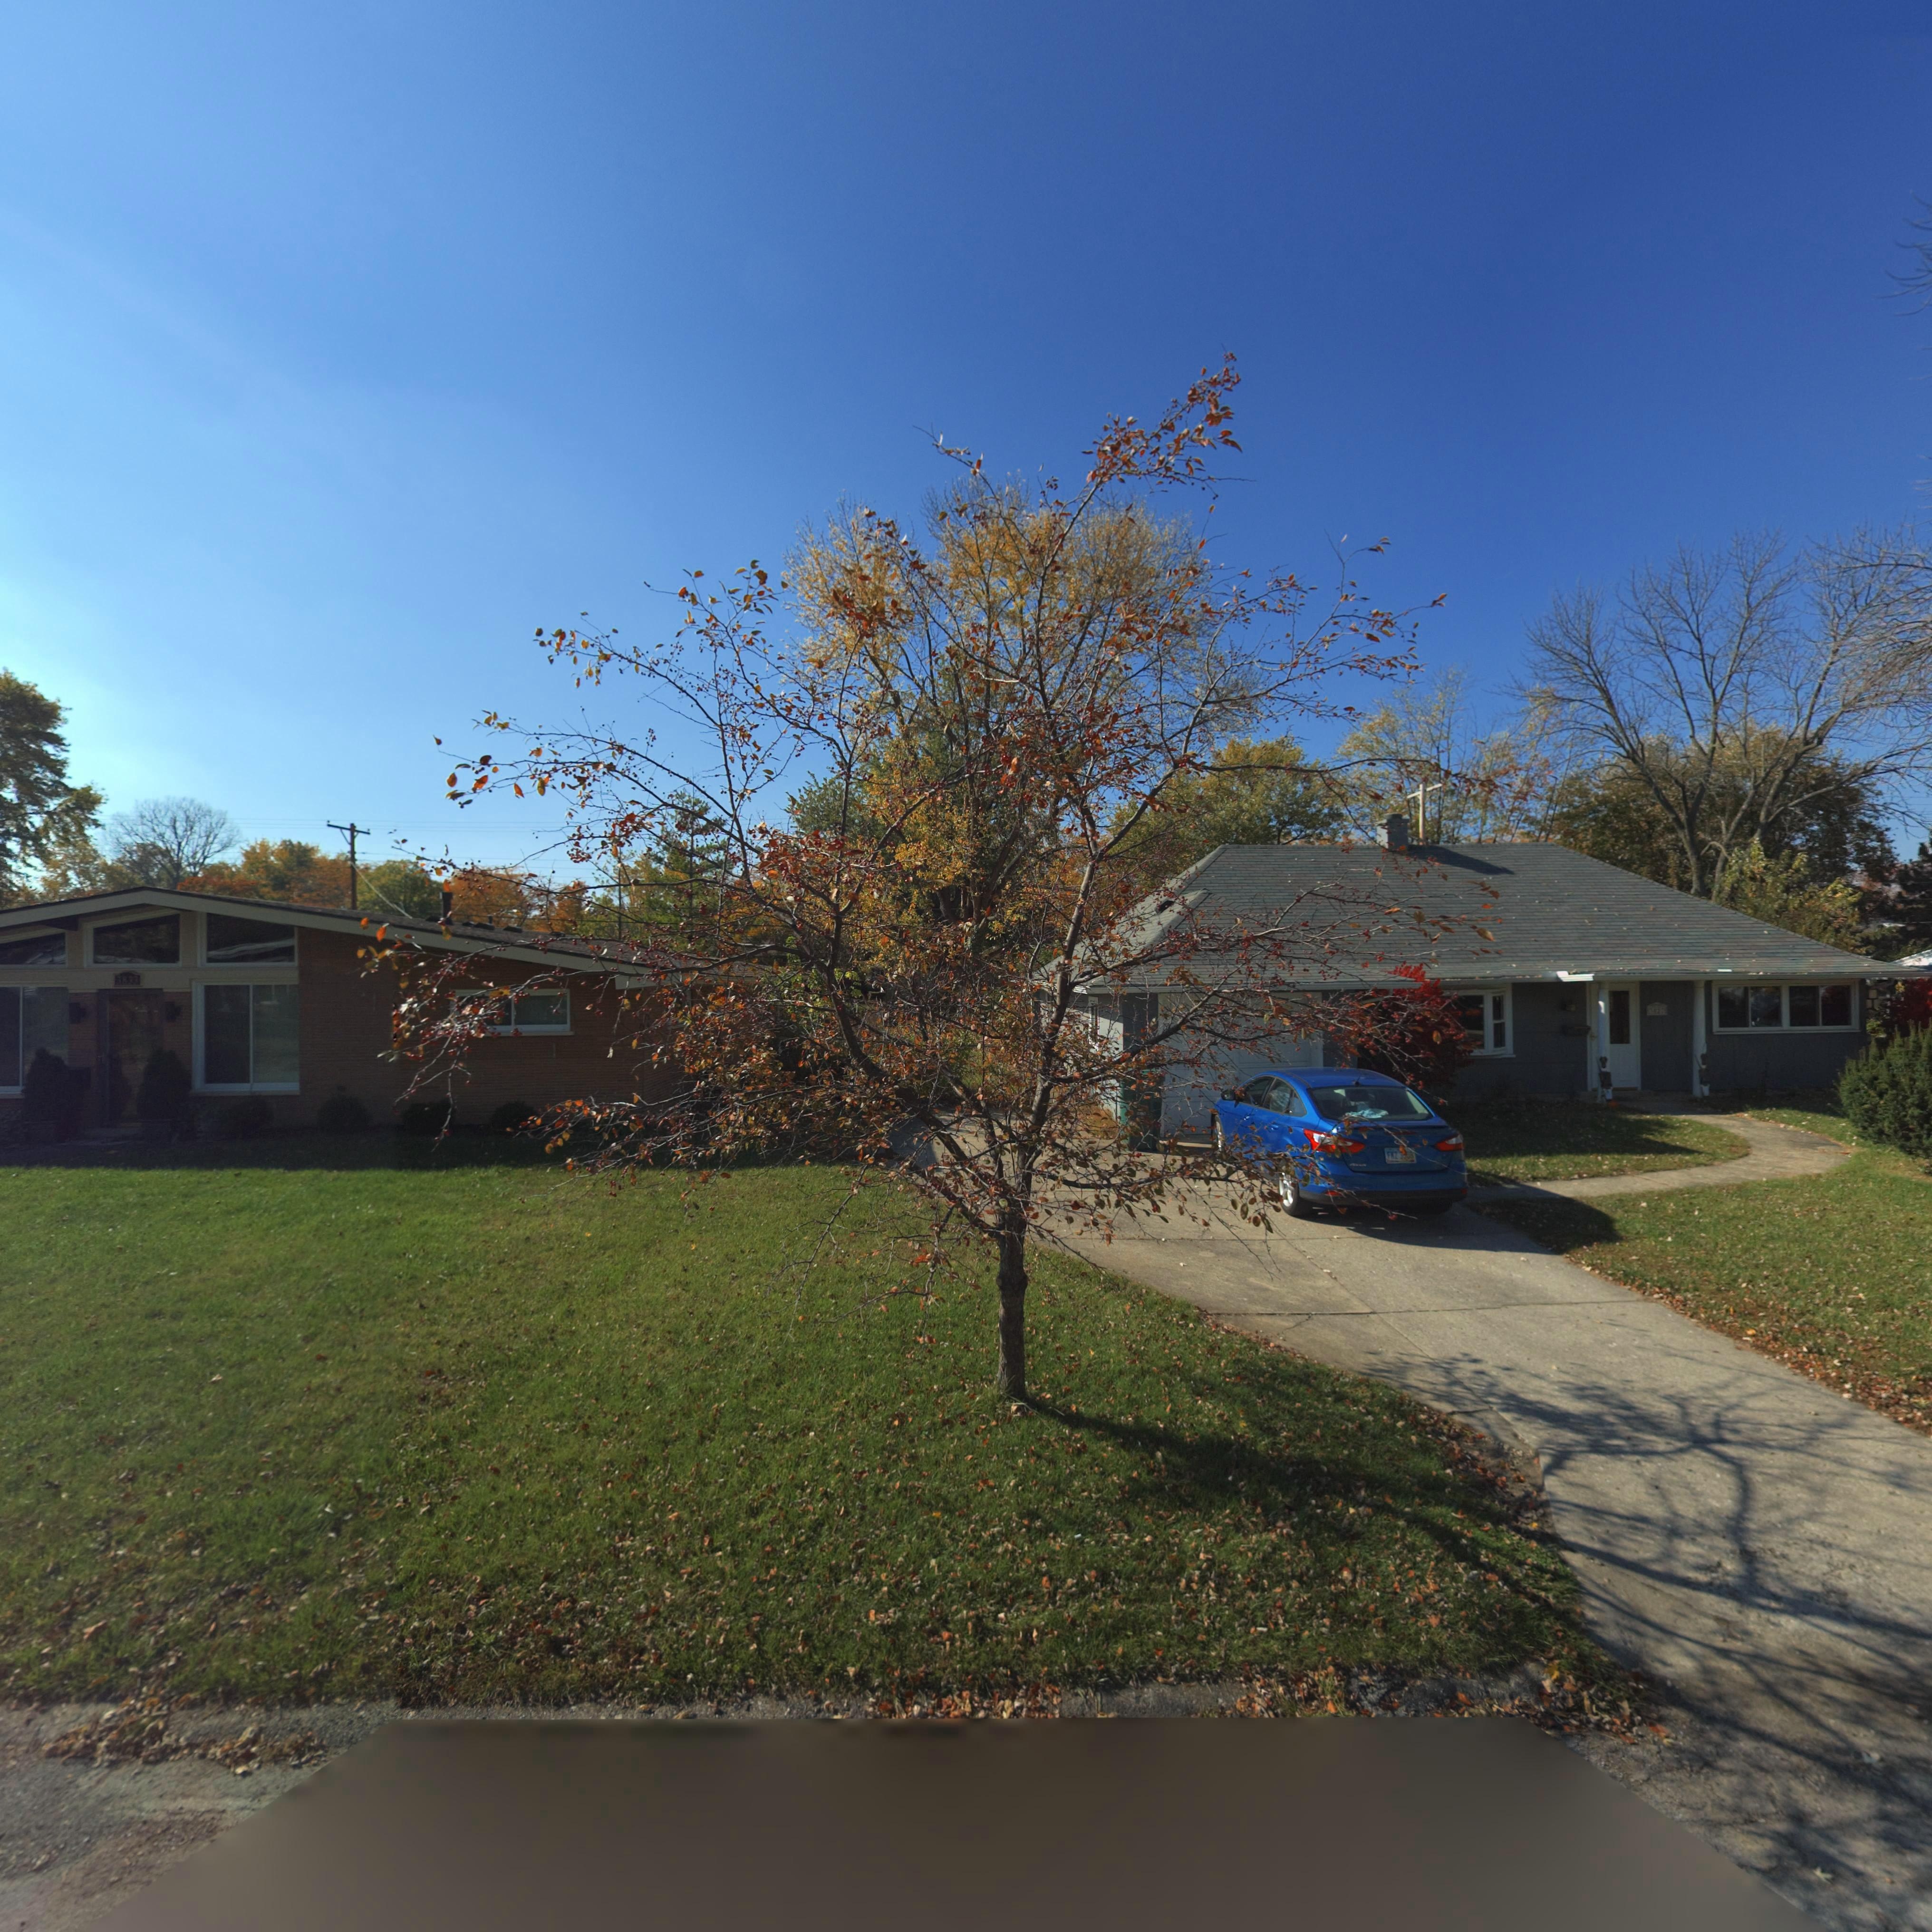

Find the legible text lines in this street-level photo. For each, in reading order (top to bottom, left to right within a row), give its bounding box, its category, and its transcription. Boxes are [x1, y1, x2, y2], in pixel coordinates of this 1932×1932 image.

[115, 975, 139, 985] StreetNumber: 3833
[1649, 1007, 1665, 1014] StreetNumber: 3*27
[1386, 1150, 1414, 1160] None: FKZ*3**8